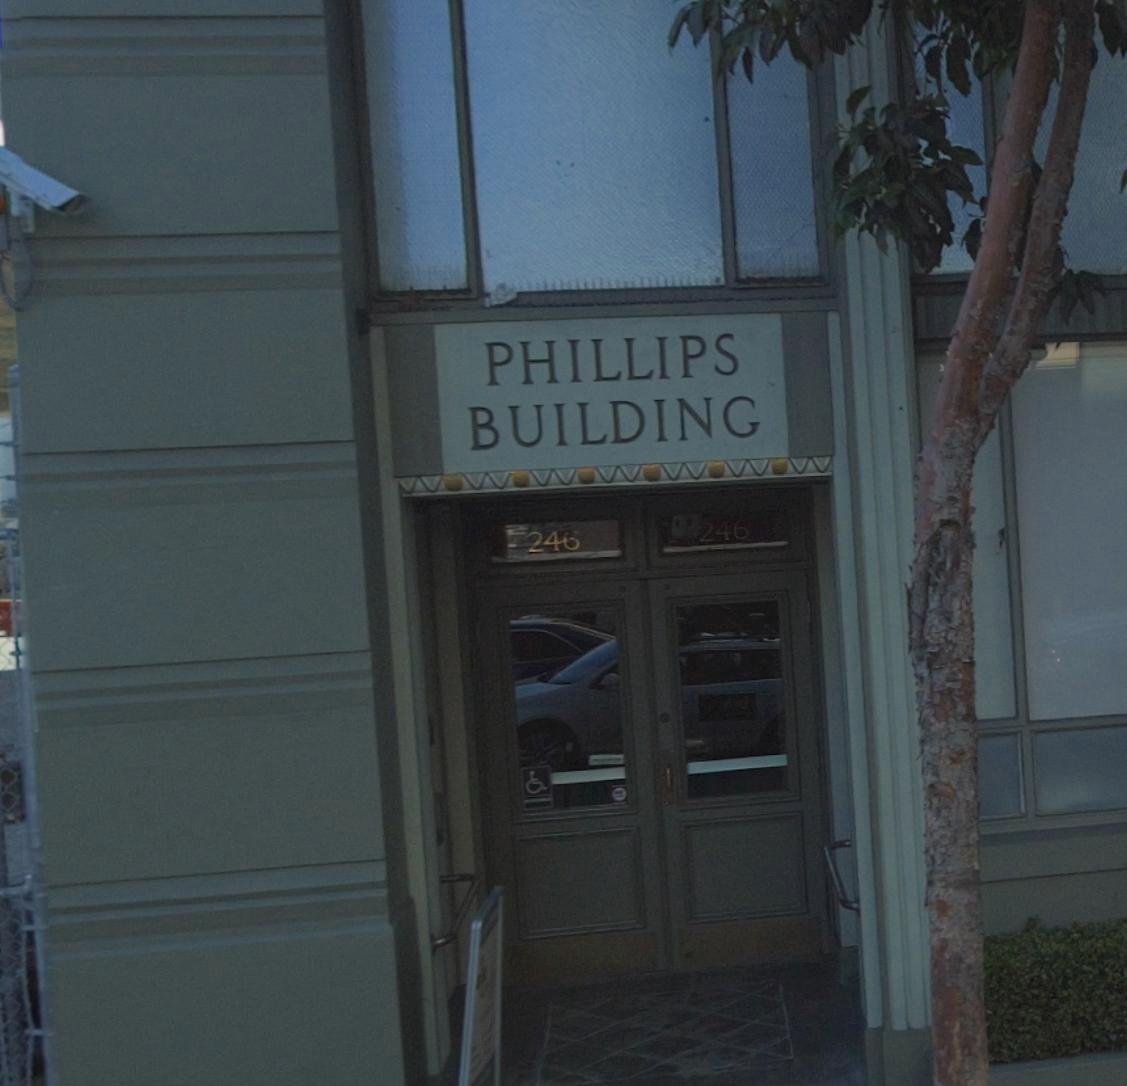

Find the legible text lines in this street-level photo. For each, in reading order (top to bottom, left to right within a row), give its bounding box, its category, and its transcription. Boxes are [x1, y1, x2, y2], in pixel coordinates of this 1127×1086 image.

[485, 332, 741, 387] None: PHILLIPS
[468, 394, 763, 452] None: BUILDING
[526, 530, 582, 554] StreetNumber: 246
[697, 518, 751, 543] StreetNumber: 246